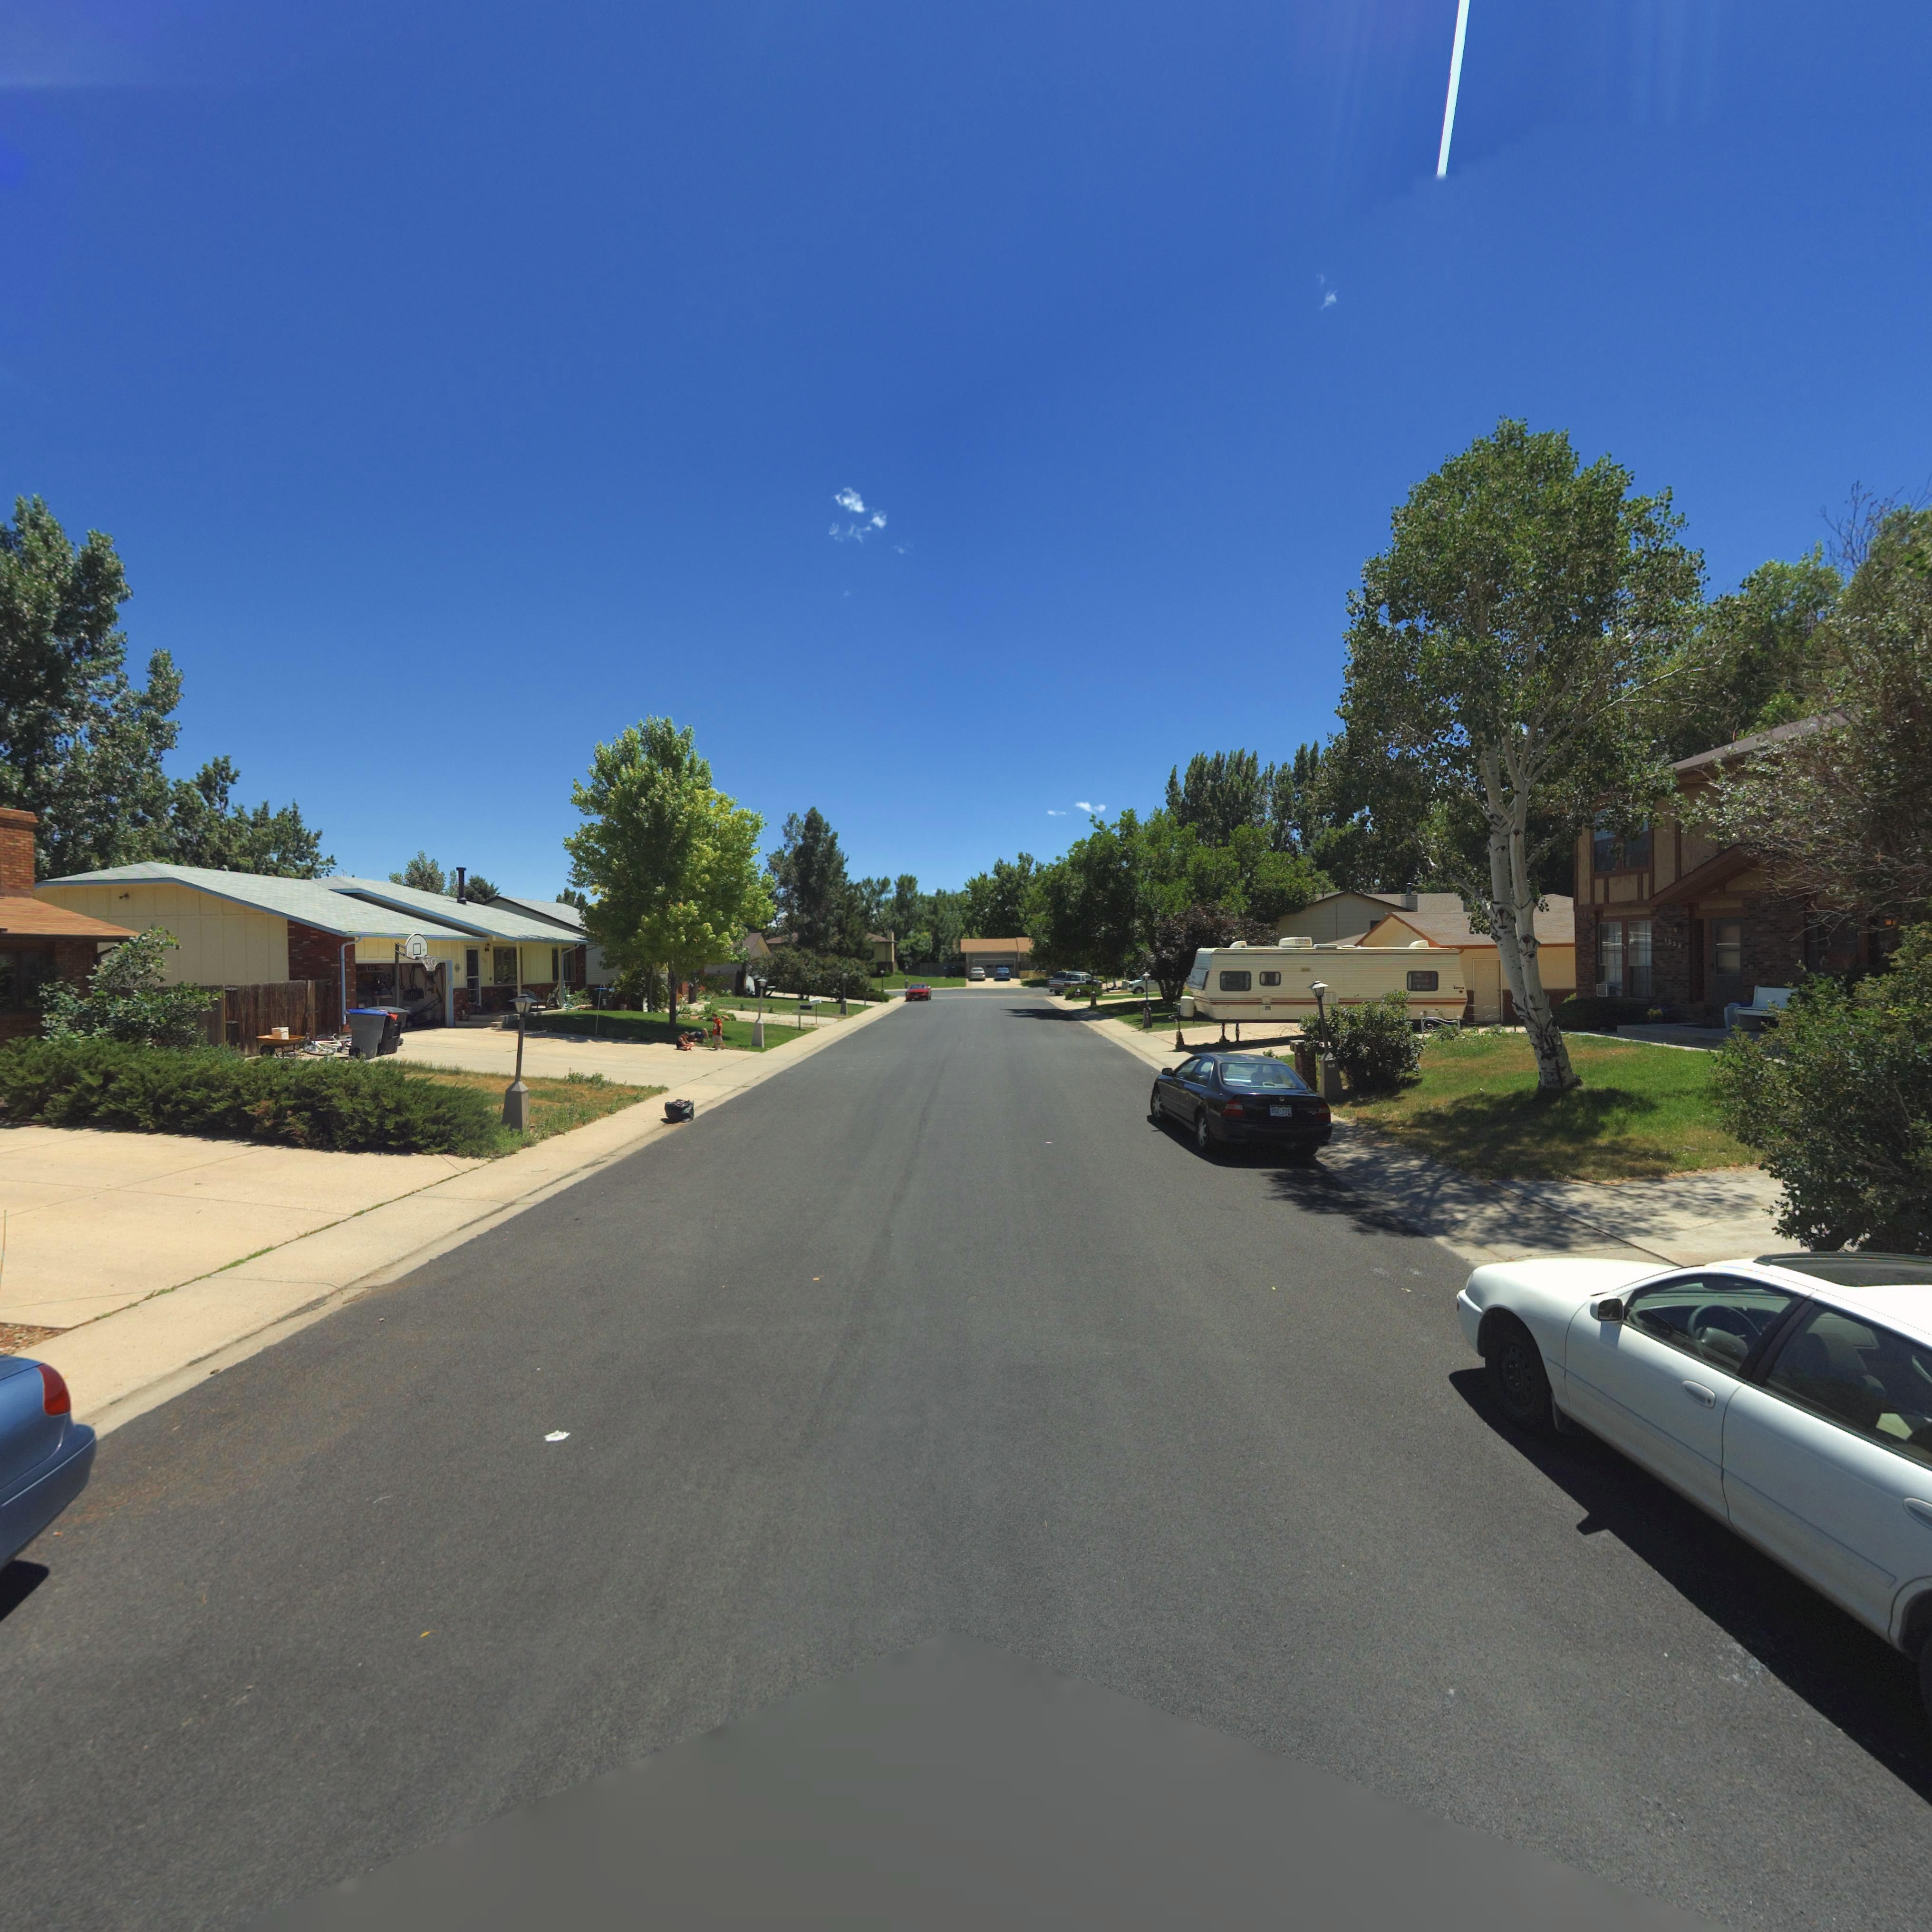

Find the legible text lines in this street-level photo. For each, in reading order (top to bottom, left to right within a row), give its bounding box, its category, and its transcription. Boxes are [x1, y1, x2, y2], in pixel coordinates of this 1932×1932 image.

[1664, 937, 1681, 949] StreetNumber: 1334